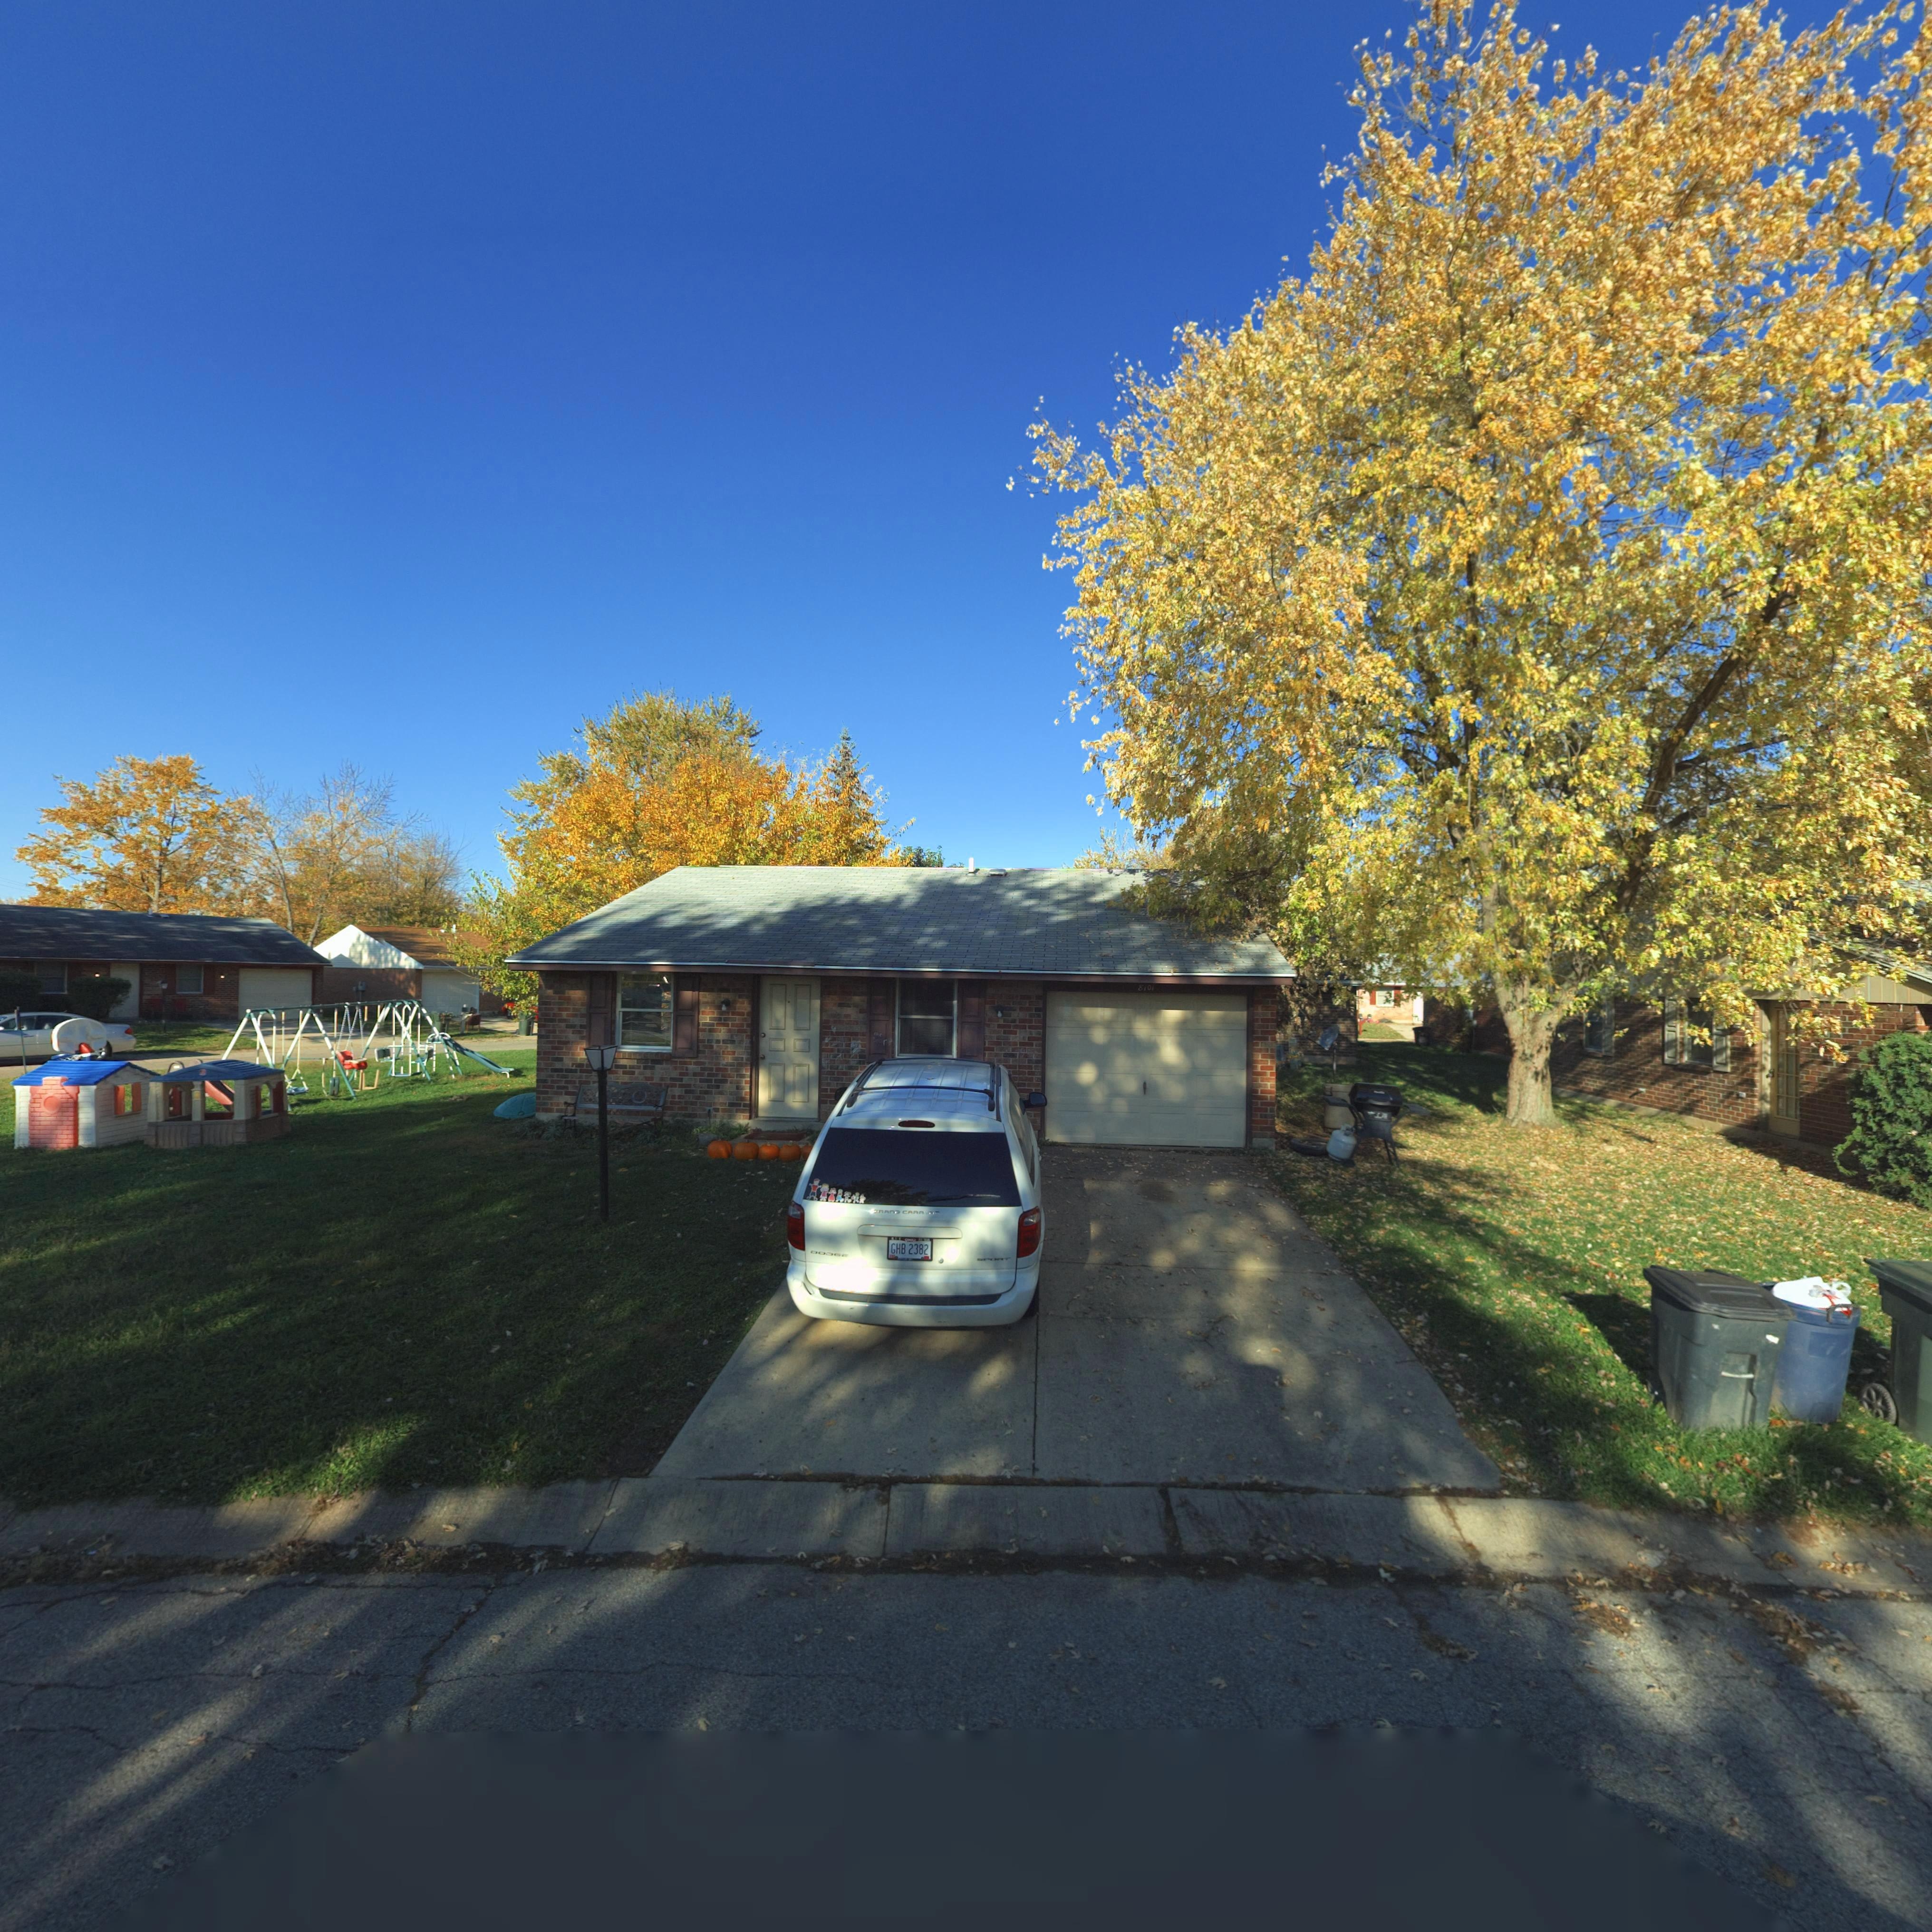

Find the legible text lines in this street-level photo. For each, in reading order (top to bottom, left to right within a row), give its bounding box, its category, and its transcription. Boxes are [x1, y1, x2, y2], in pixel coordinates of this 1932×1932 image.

[1137, 984, 1155, 992] StreetNumber: 8101